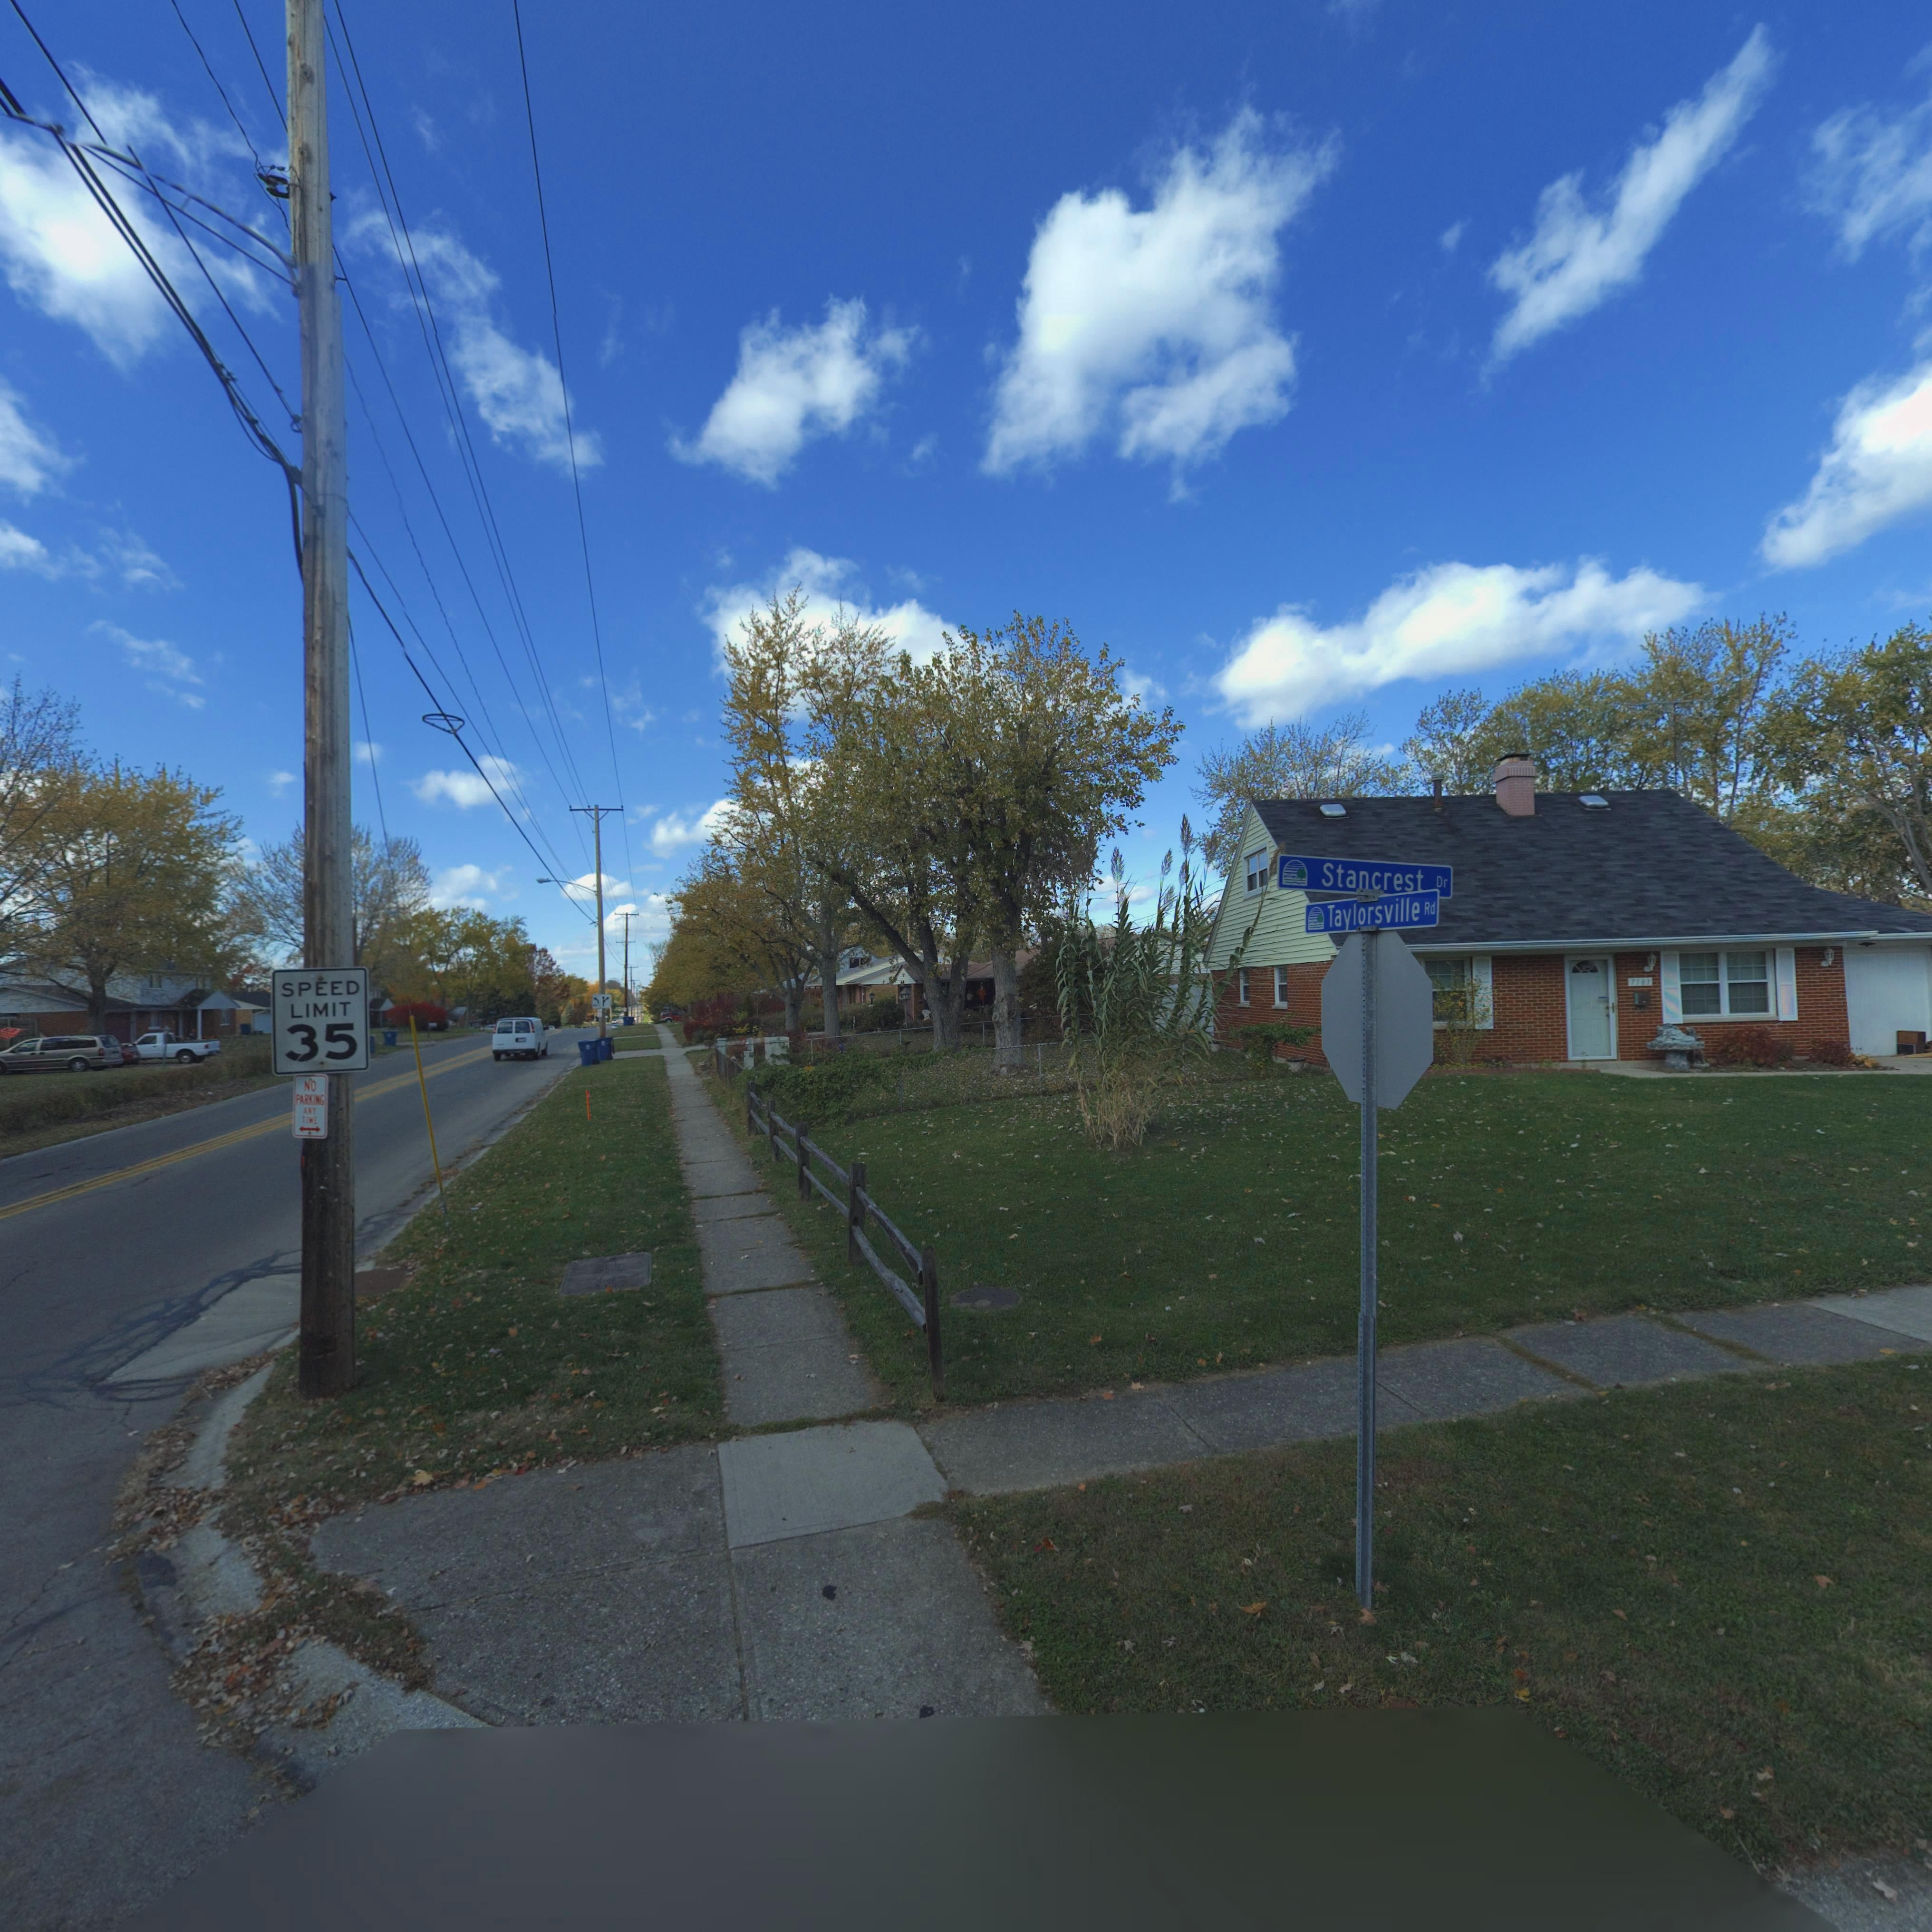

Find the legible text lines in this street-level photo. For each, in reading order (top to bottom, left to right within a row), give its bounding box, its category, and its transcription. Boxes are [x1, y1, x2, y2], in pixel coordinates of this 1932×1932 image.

[1321, 862, 1449, 893] StreetName: Stancrest Dr
[1326, 896, 1437, 931] StreetName: Taylorsville Rd
[1631, 978, 1650, 985] StreetNumber: 7501